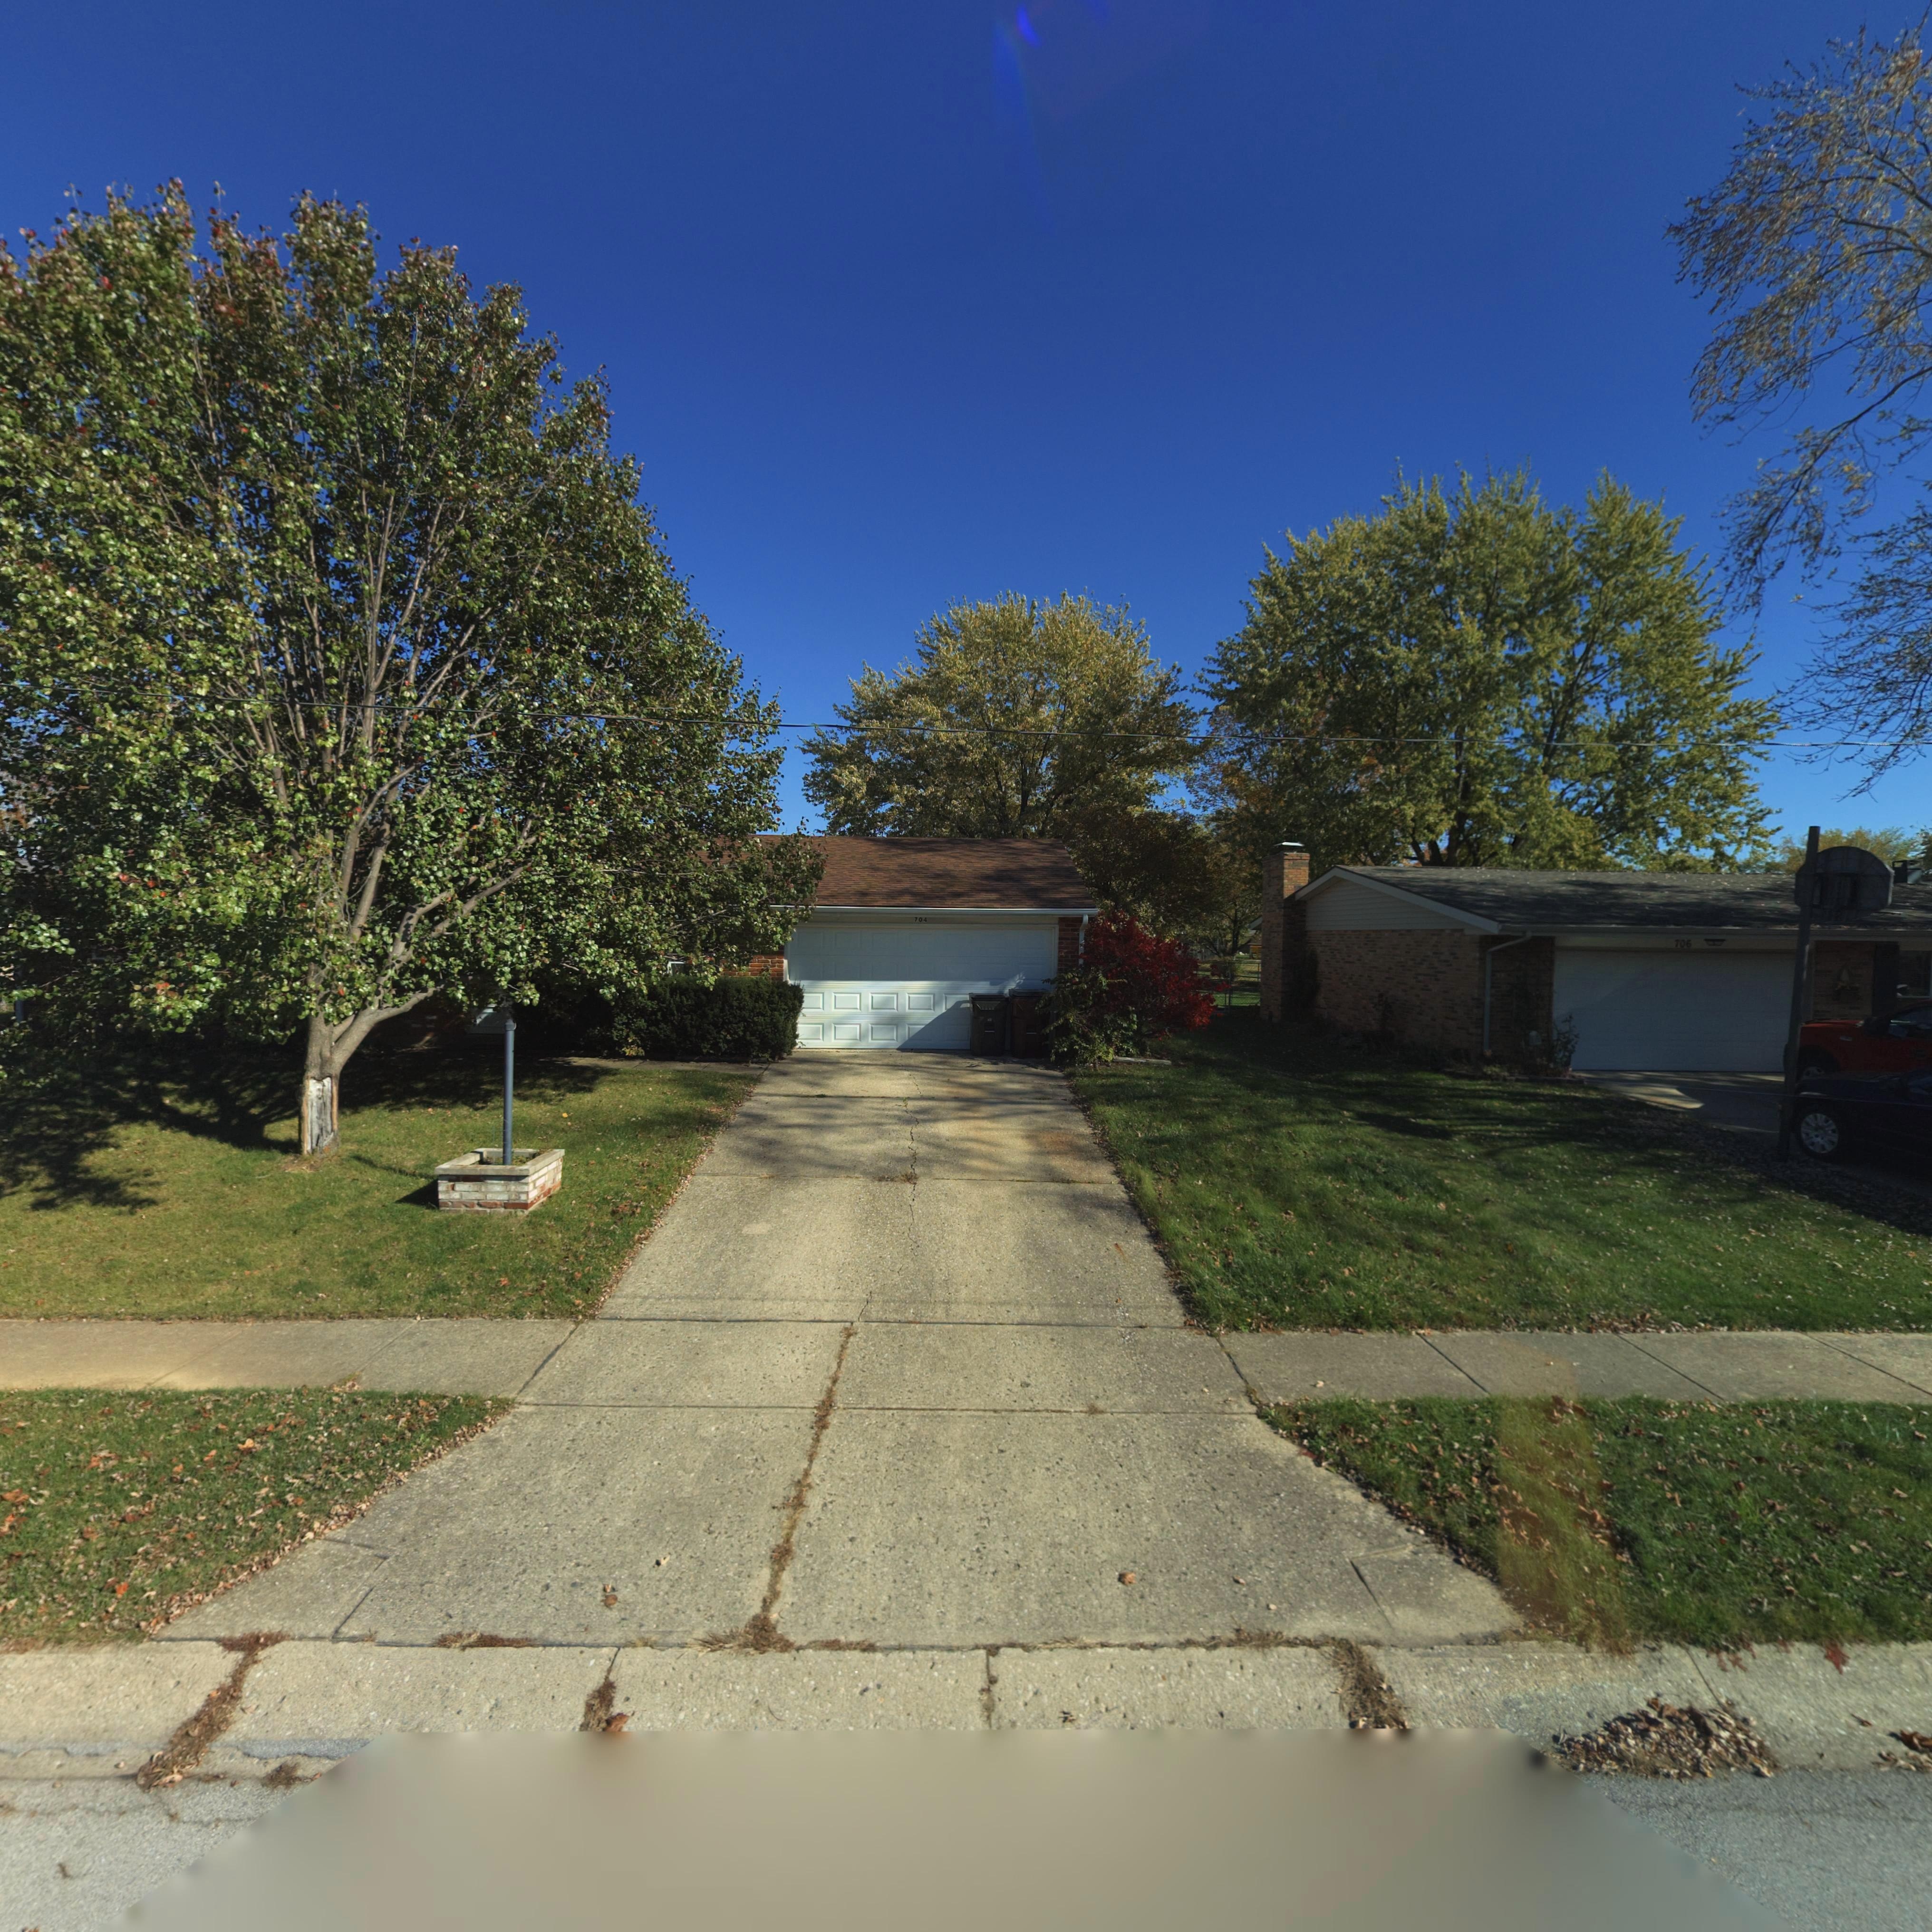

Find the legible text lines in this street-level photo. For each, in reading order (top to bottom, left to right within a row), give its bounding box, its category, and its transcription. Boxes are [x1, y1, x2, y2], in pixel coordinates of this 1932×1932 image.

[914, 917, 927, 922] StreetNumber: 704
[1674, 939, 1692, 947] StreetNumber: 706